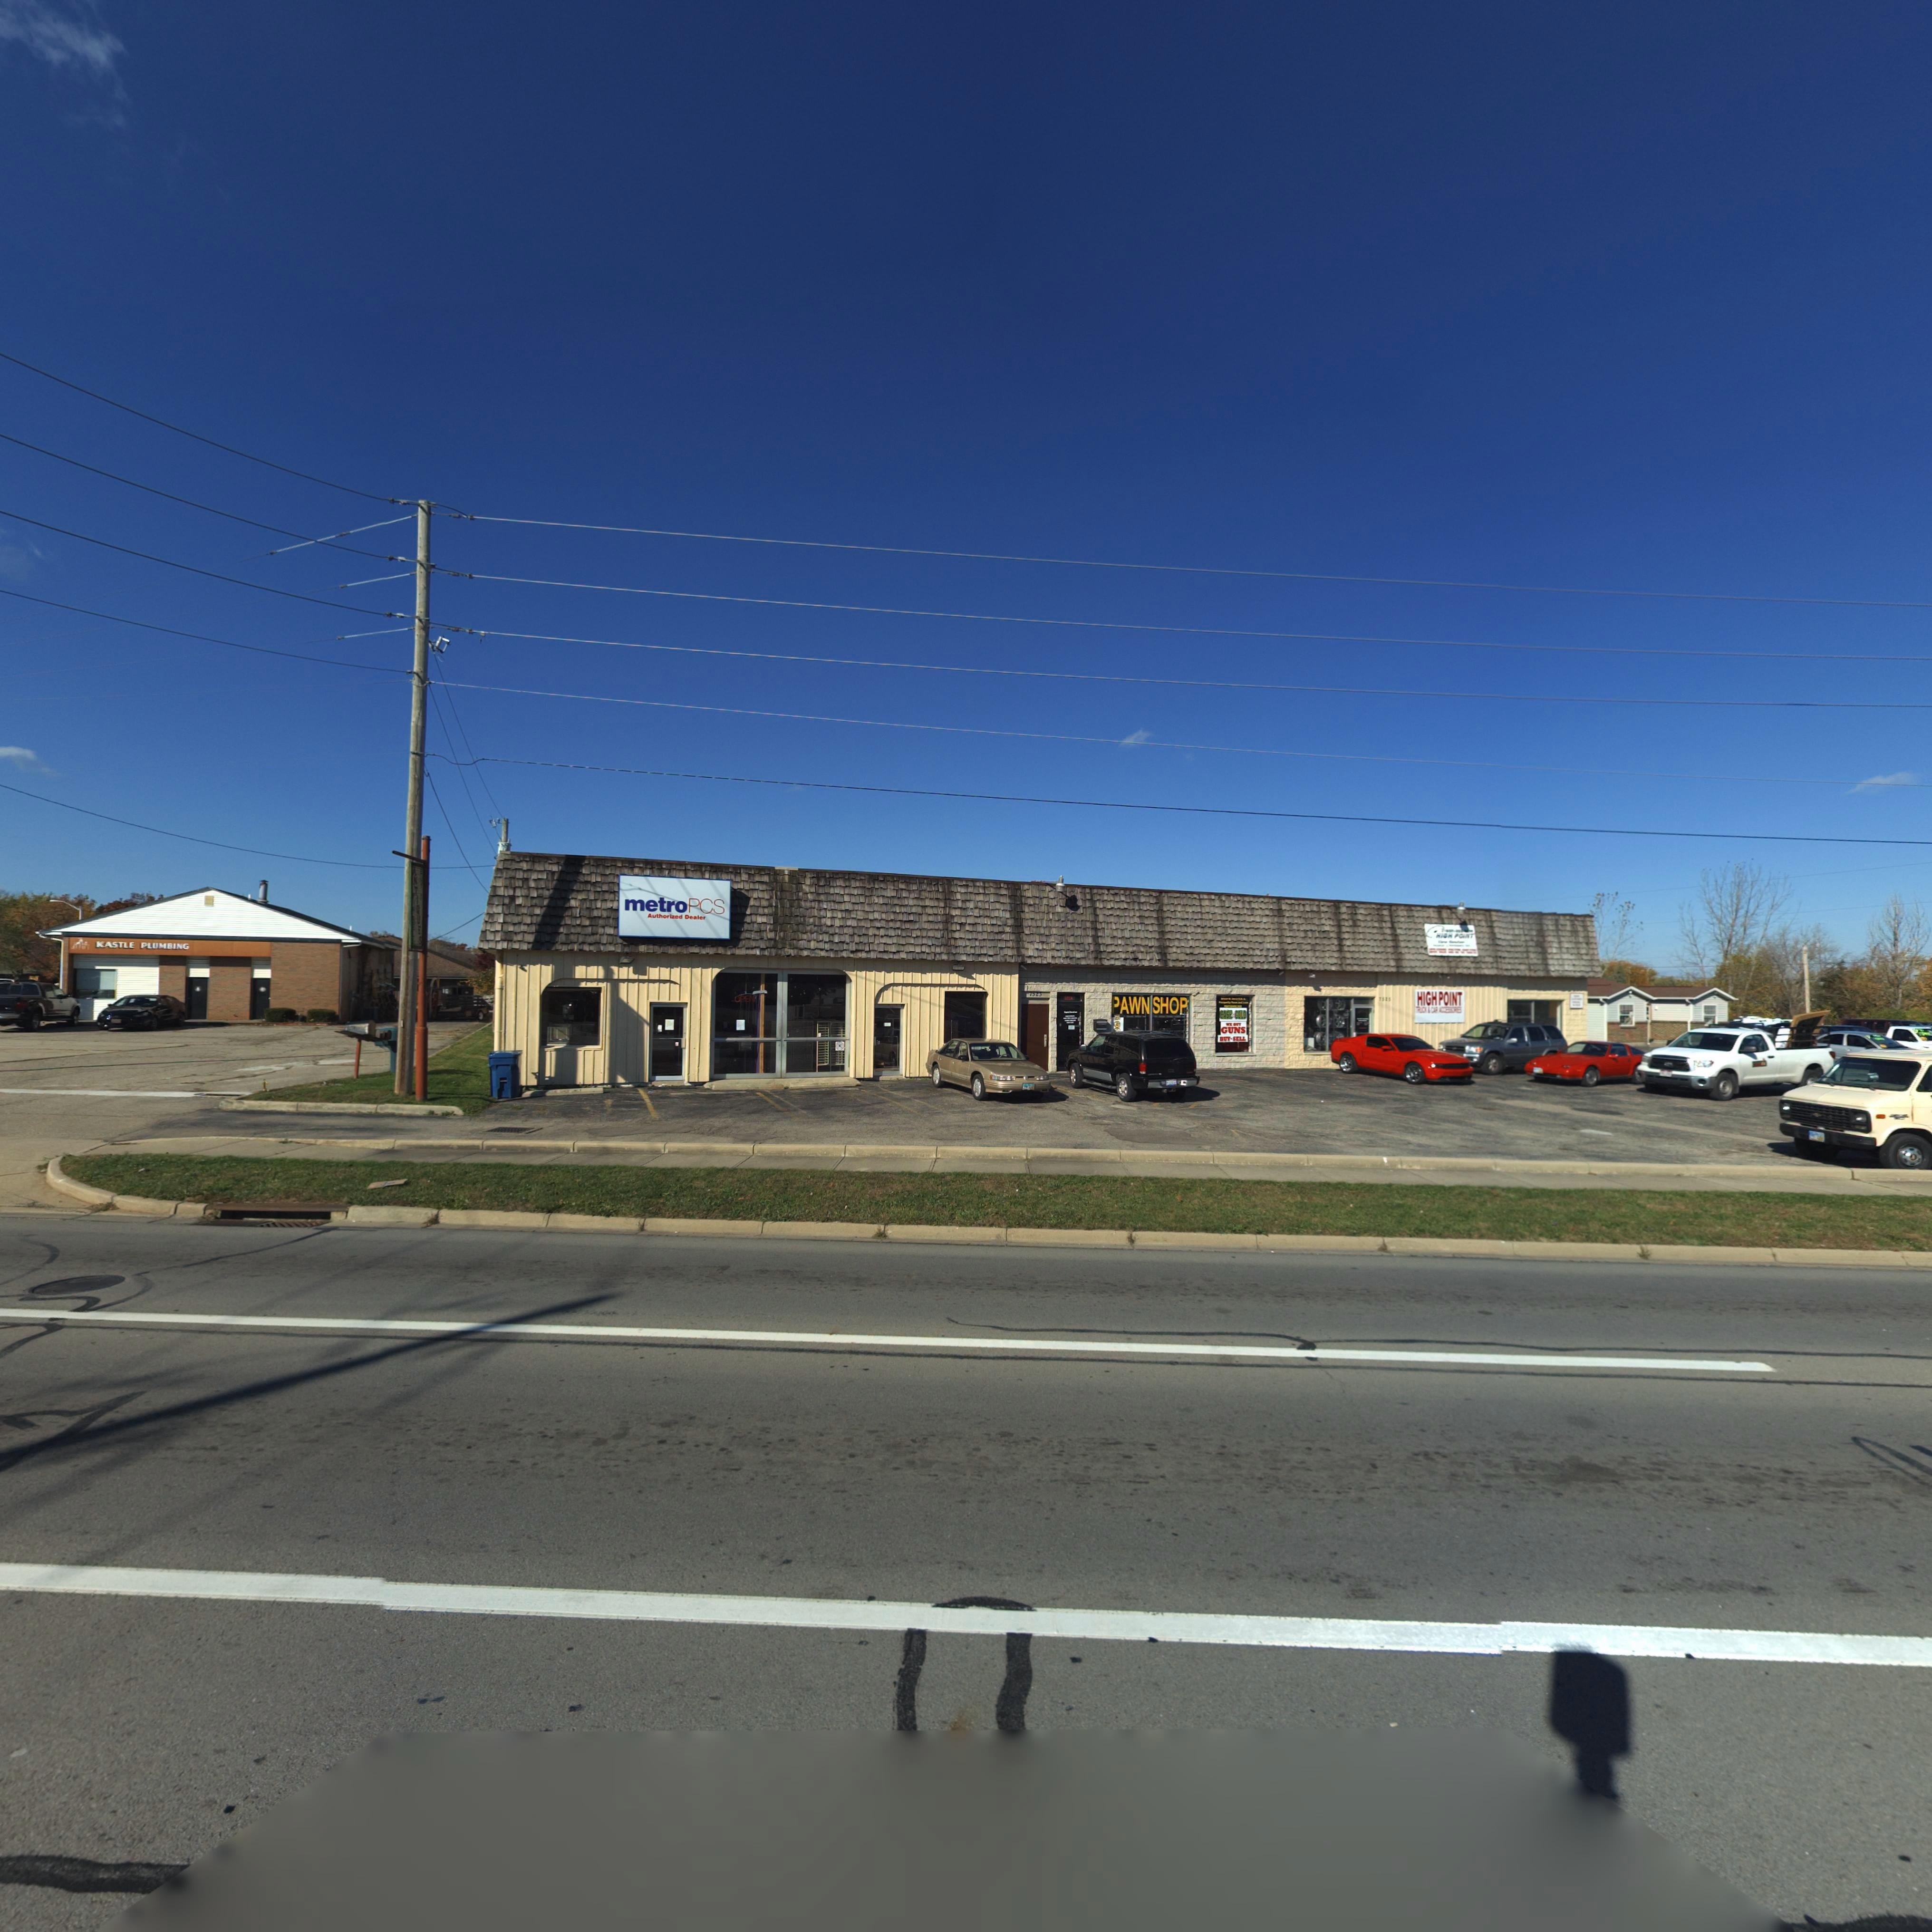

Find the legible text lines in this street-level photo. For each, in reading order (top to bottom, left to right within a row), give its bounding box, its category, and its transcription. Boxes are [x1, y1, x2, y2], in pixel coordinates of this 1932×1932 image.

[624, 896, 725, 916] BusinessName: metroPCS
[1435, 933, 1475, 938] BusinessName: HIGH POINT
[96, 940, 190, 950] BusinessName: KASTLE PLUMBING
[1028, 991, 1043, 997] StreetNumber: 7523
[1378, 996, 1391, 1002] StreetNumber: 7525
[1416, 991, 1463, 1006] BusinessName: HIGH POINT